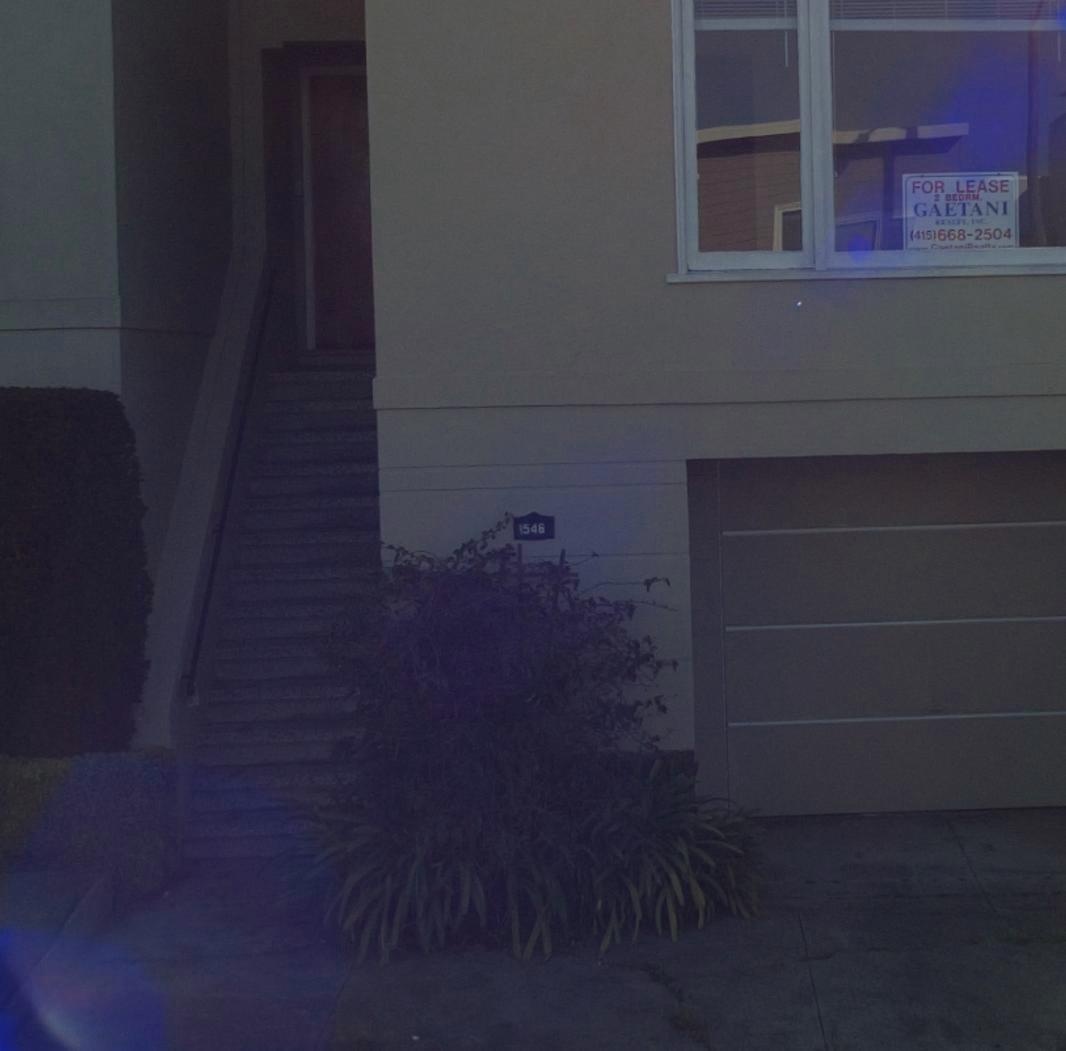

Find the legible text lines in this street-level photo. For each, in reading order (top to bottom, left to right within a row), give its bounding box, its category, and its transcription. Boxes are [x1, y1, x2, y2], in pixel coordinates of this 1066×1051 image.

[909, 176, 1012, 196] None: FOR LEASE
[932, 191, 987, 204] None: 3 BEDRM.
[911, 198, 1012, 220] None: GAETANI
[906, 224, 1016, 246] None: (415)668-2504
[517, 521, 547, 536] StreetNumber: 1546